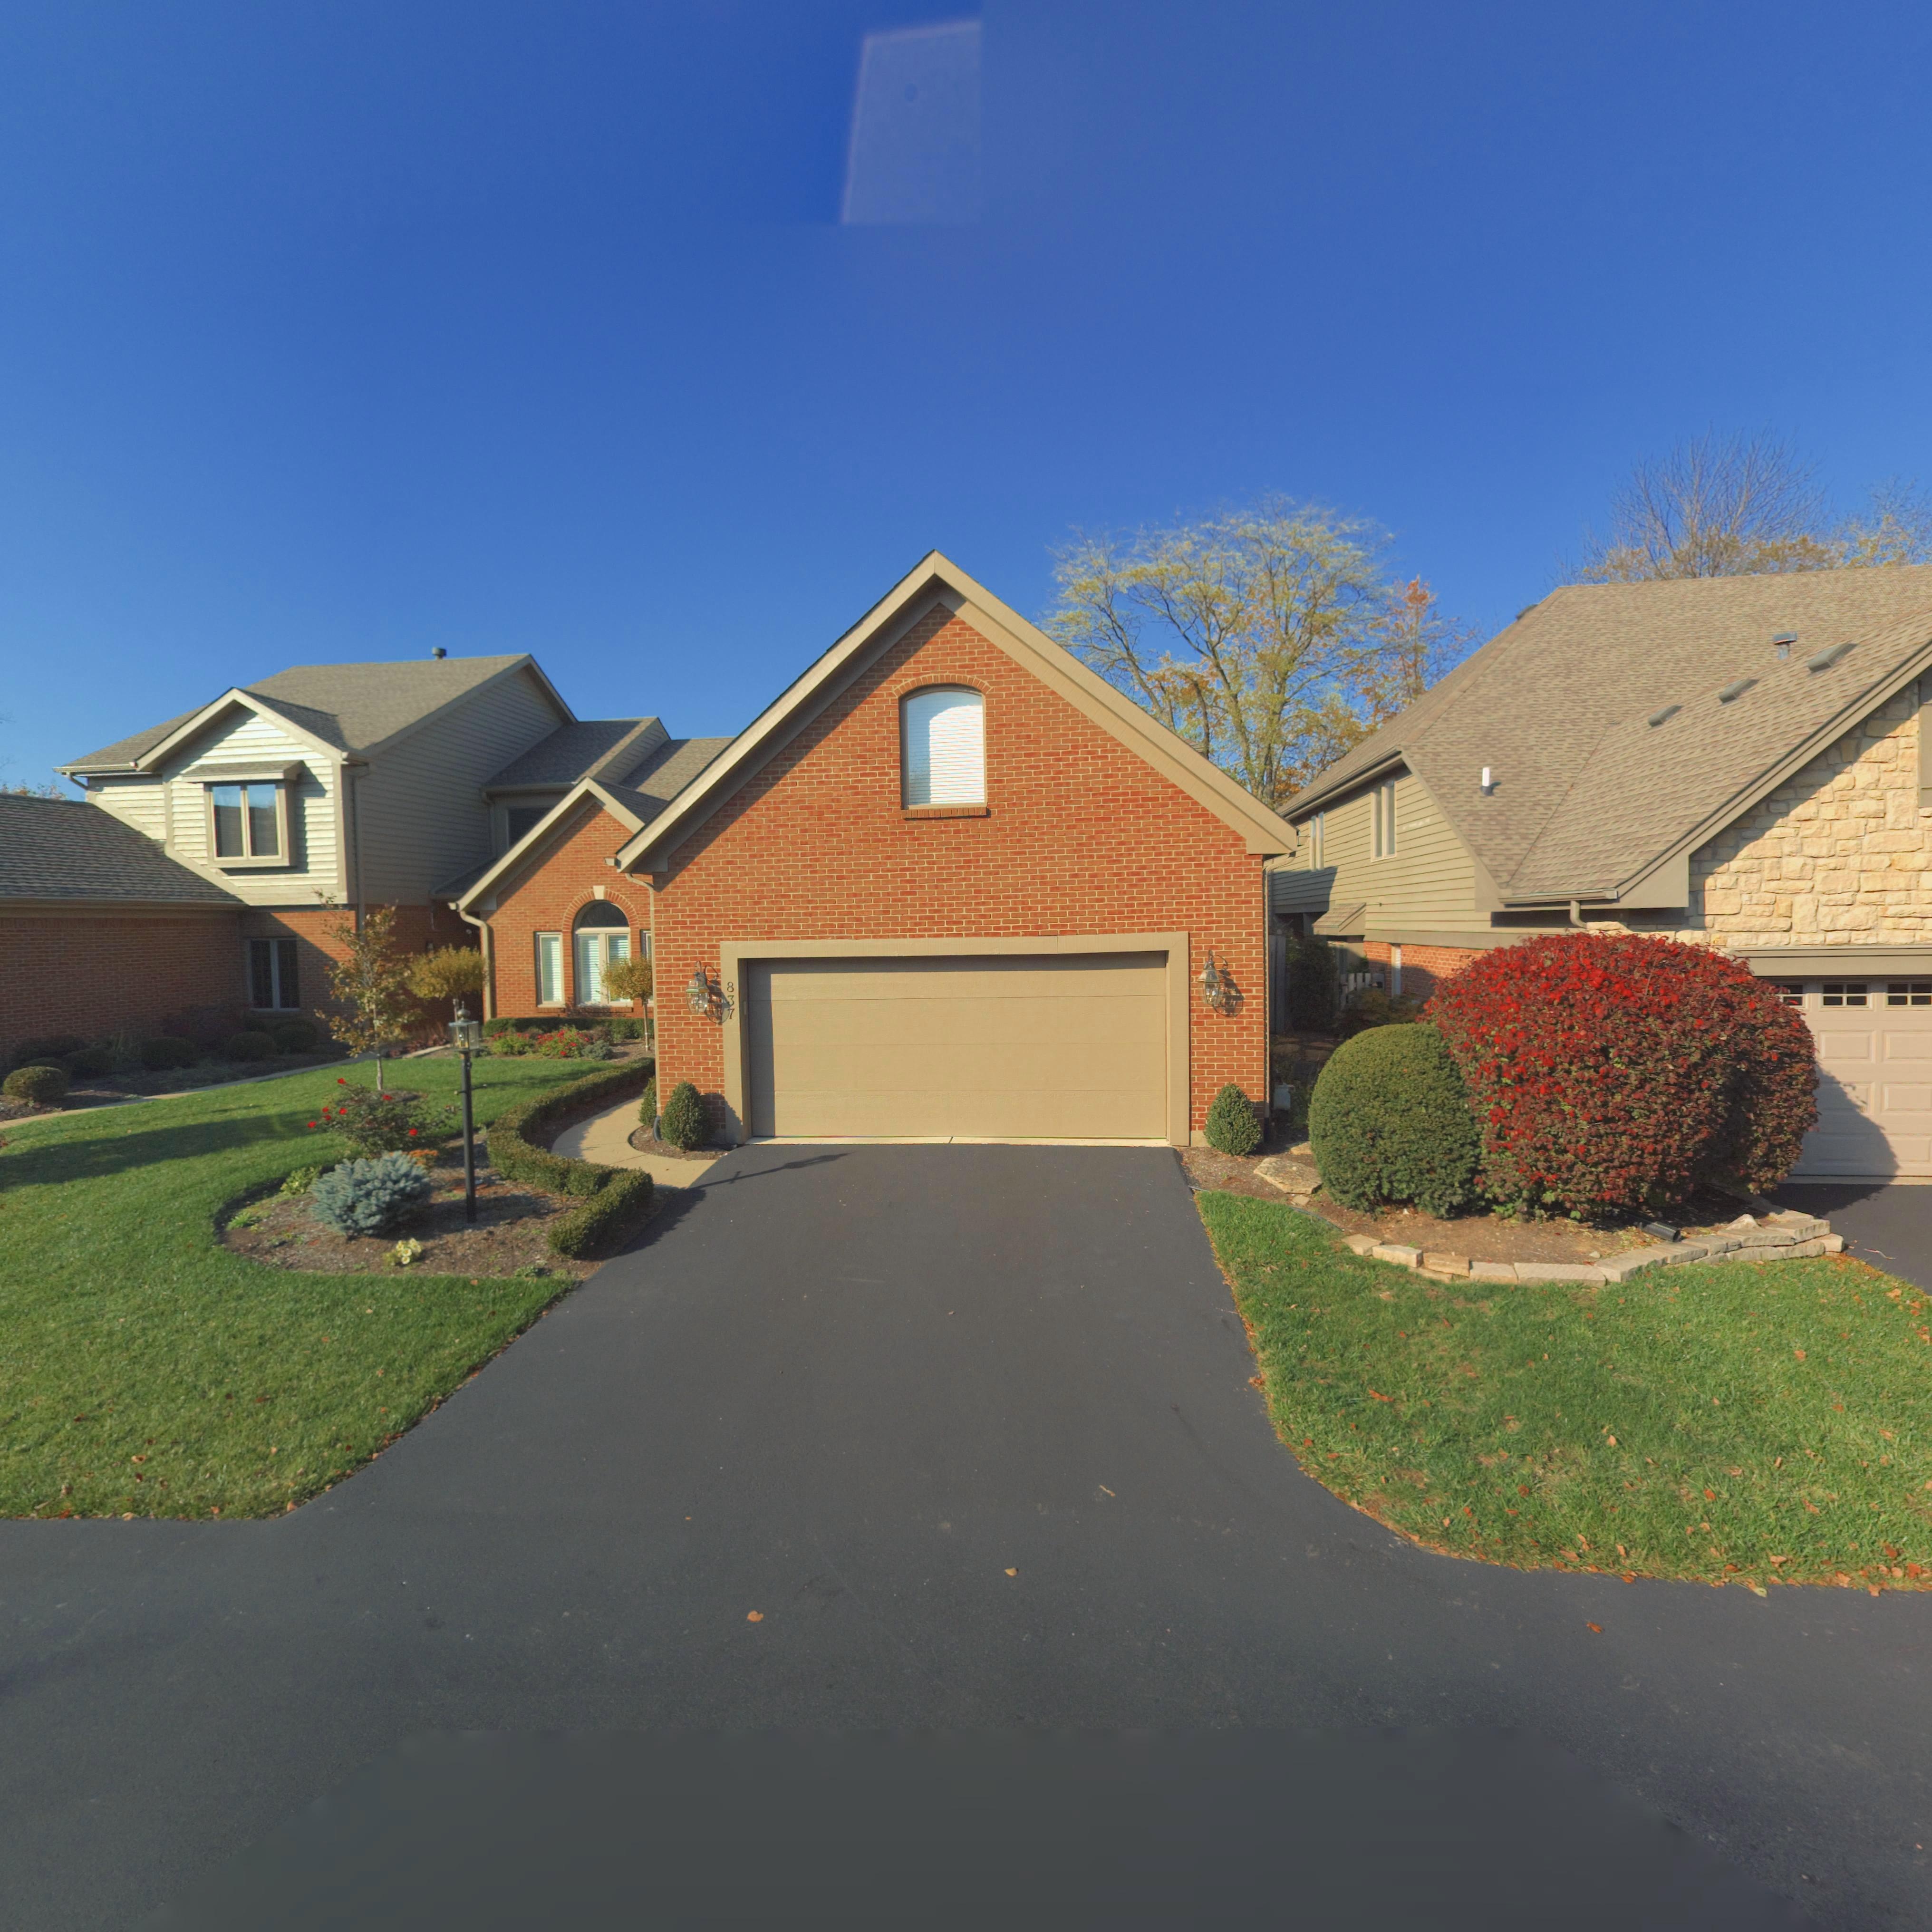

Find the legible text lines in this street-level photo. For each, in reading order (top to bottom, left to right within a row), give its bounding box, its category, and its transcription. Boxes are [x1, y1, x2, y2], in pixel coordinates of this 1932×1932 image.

[725, 980, 736, 1021] StreetNumber: 837